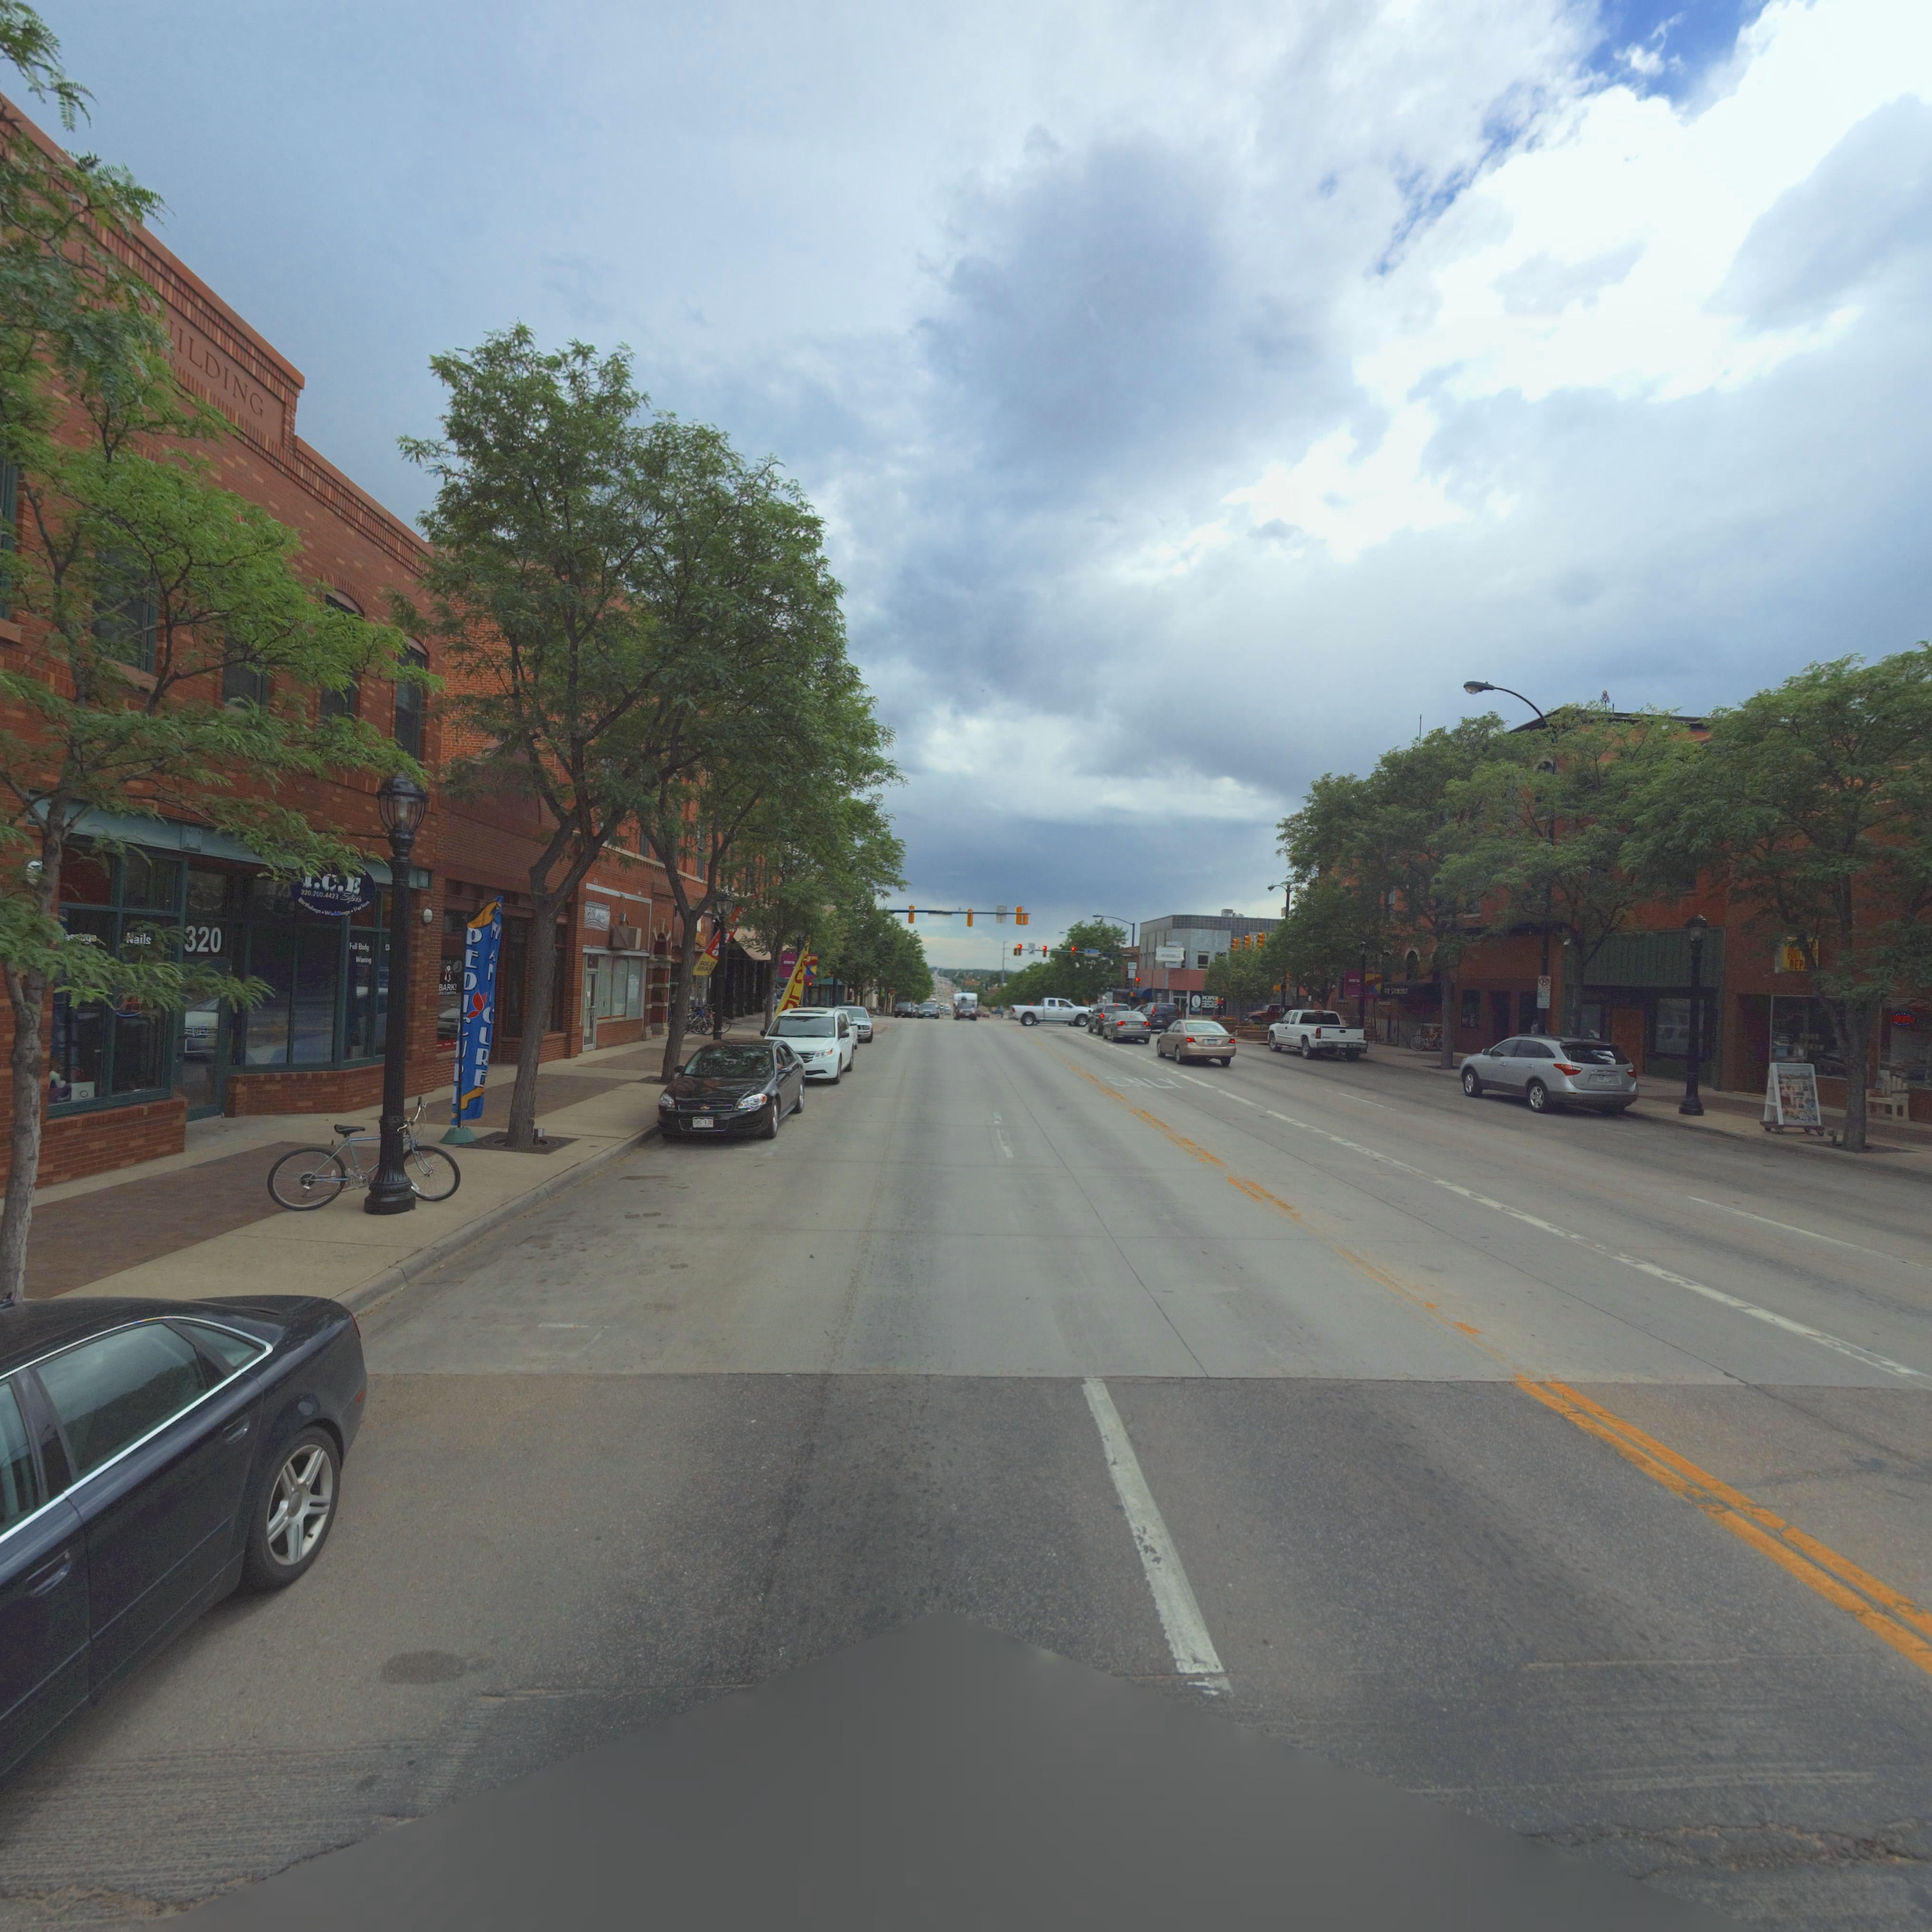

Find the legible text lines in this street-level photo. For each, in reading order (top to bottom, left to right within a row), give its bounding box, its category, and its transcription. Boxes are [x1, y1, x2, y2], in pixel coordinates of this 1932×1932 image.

[301, 869, 361, 895] BusinessName: I.C.E
[339, 890, 362, 903] BusinessName: Spa
[184, 925, 222, 953] StreetNumber: 320
[439, 983, 456, 991] BusinessName: BARK!
[1202, 995, 1224, 1000] BusinessName: KIR**